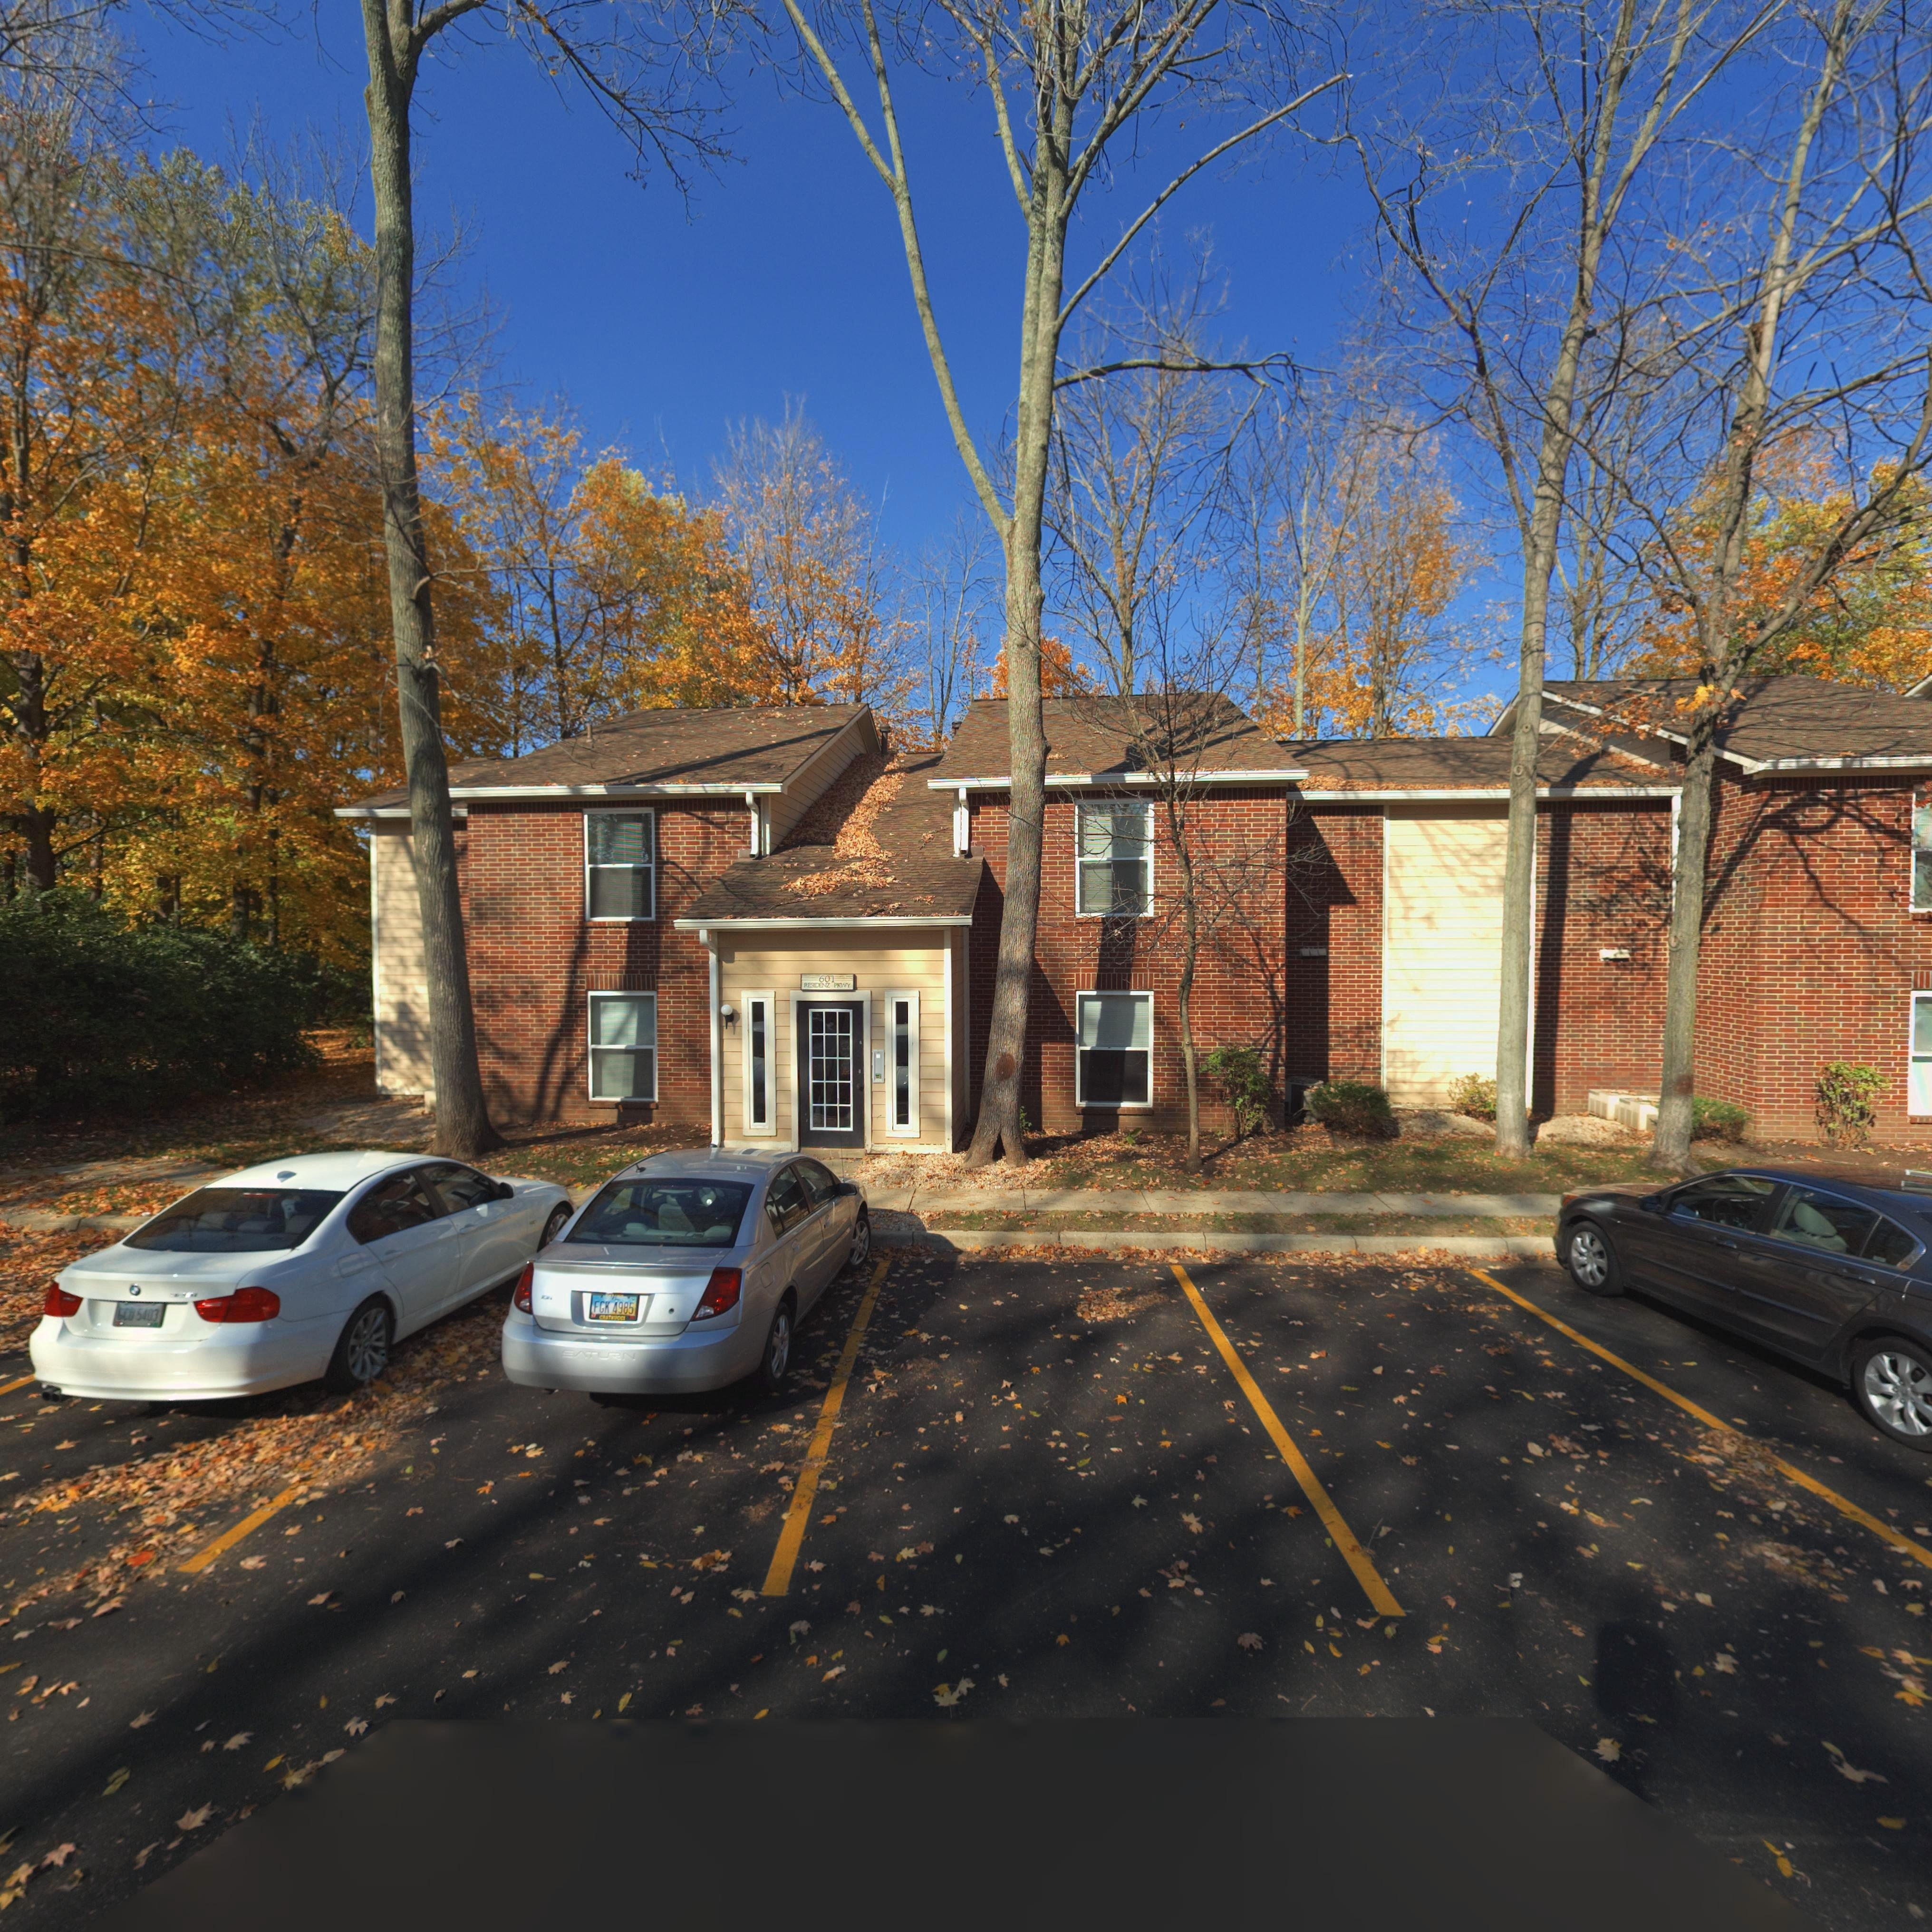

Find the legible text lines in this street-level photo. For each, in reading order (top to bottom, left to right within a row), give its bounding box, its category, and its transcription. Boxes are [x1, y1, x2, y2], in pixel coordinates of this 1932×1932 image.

[818, 974, 835, 983] StreetNumber: 601
[803, 982, 852, 989] StreetName: RESIDENZ PKWY
[592, 1299, 635, 1315] None: FGK 4985
[116, 1307, 160, 1323] None: *** 5403
[561, 1348, 637, 1362] None: SATURN